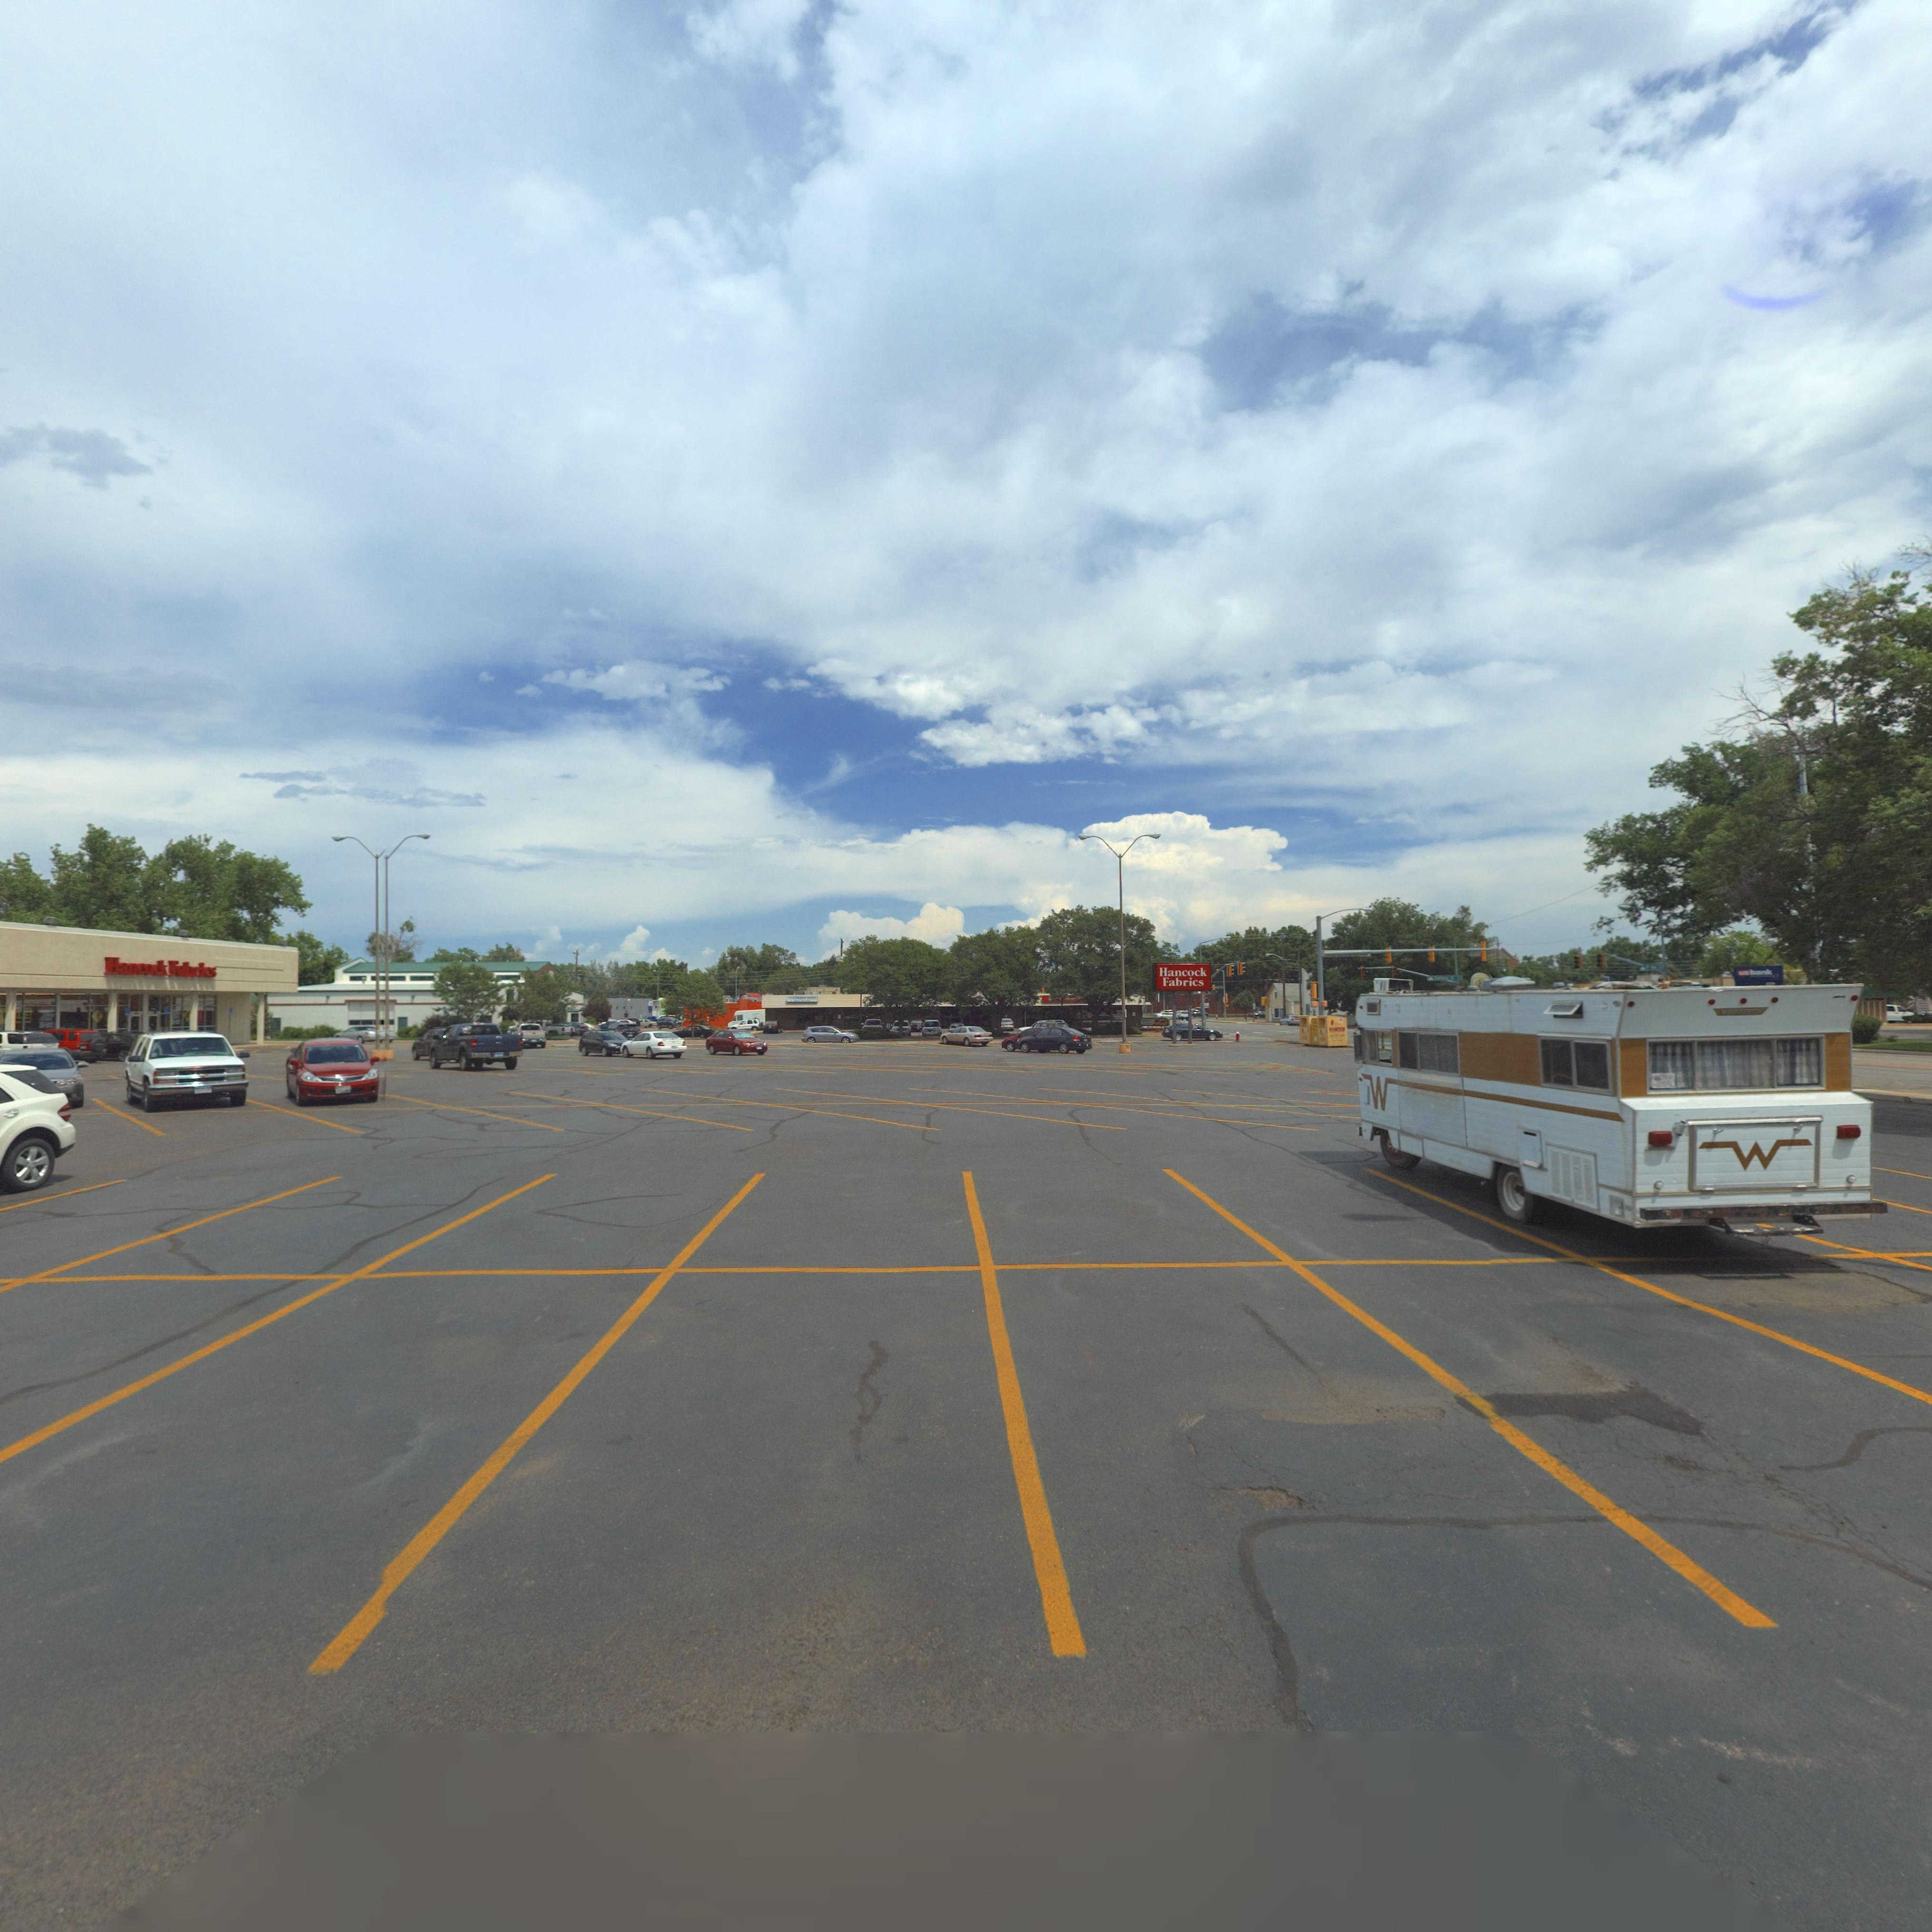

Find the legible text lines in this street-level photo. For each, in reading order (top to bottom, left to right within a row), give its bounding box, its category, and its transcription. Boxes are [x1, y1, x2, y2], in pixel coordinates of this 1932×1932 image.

[103, 956, 217, 979] BusinessName: Hanco*k F*brics
[1159, 967, 1207, 976] BusinessName: Hancock
[1738, 968, 1773, 976] BusinessName: usbank
[1162, 977, 1204, 986] BusinessName: Fabrics